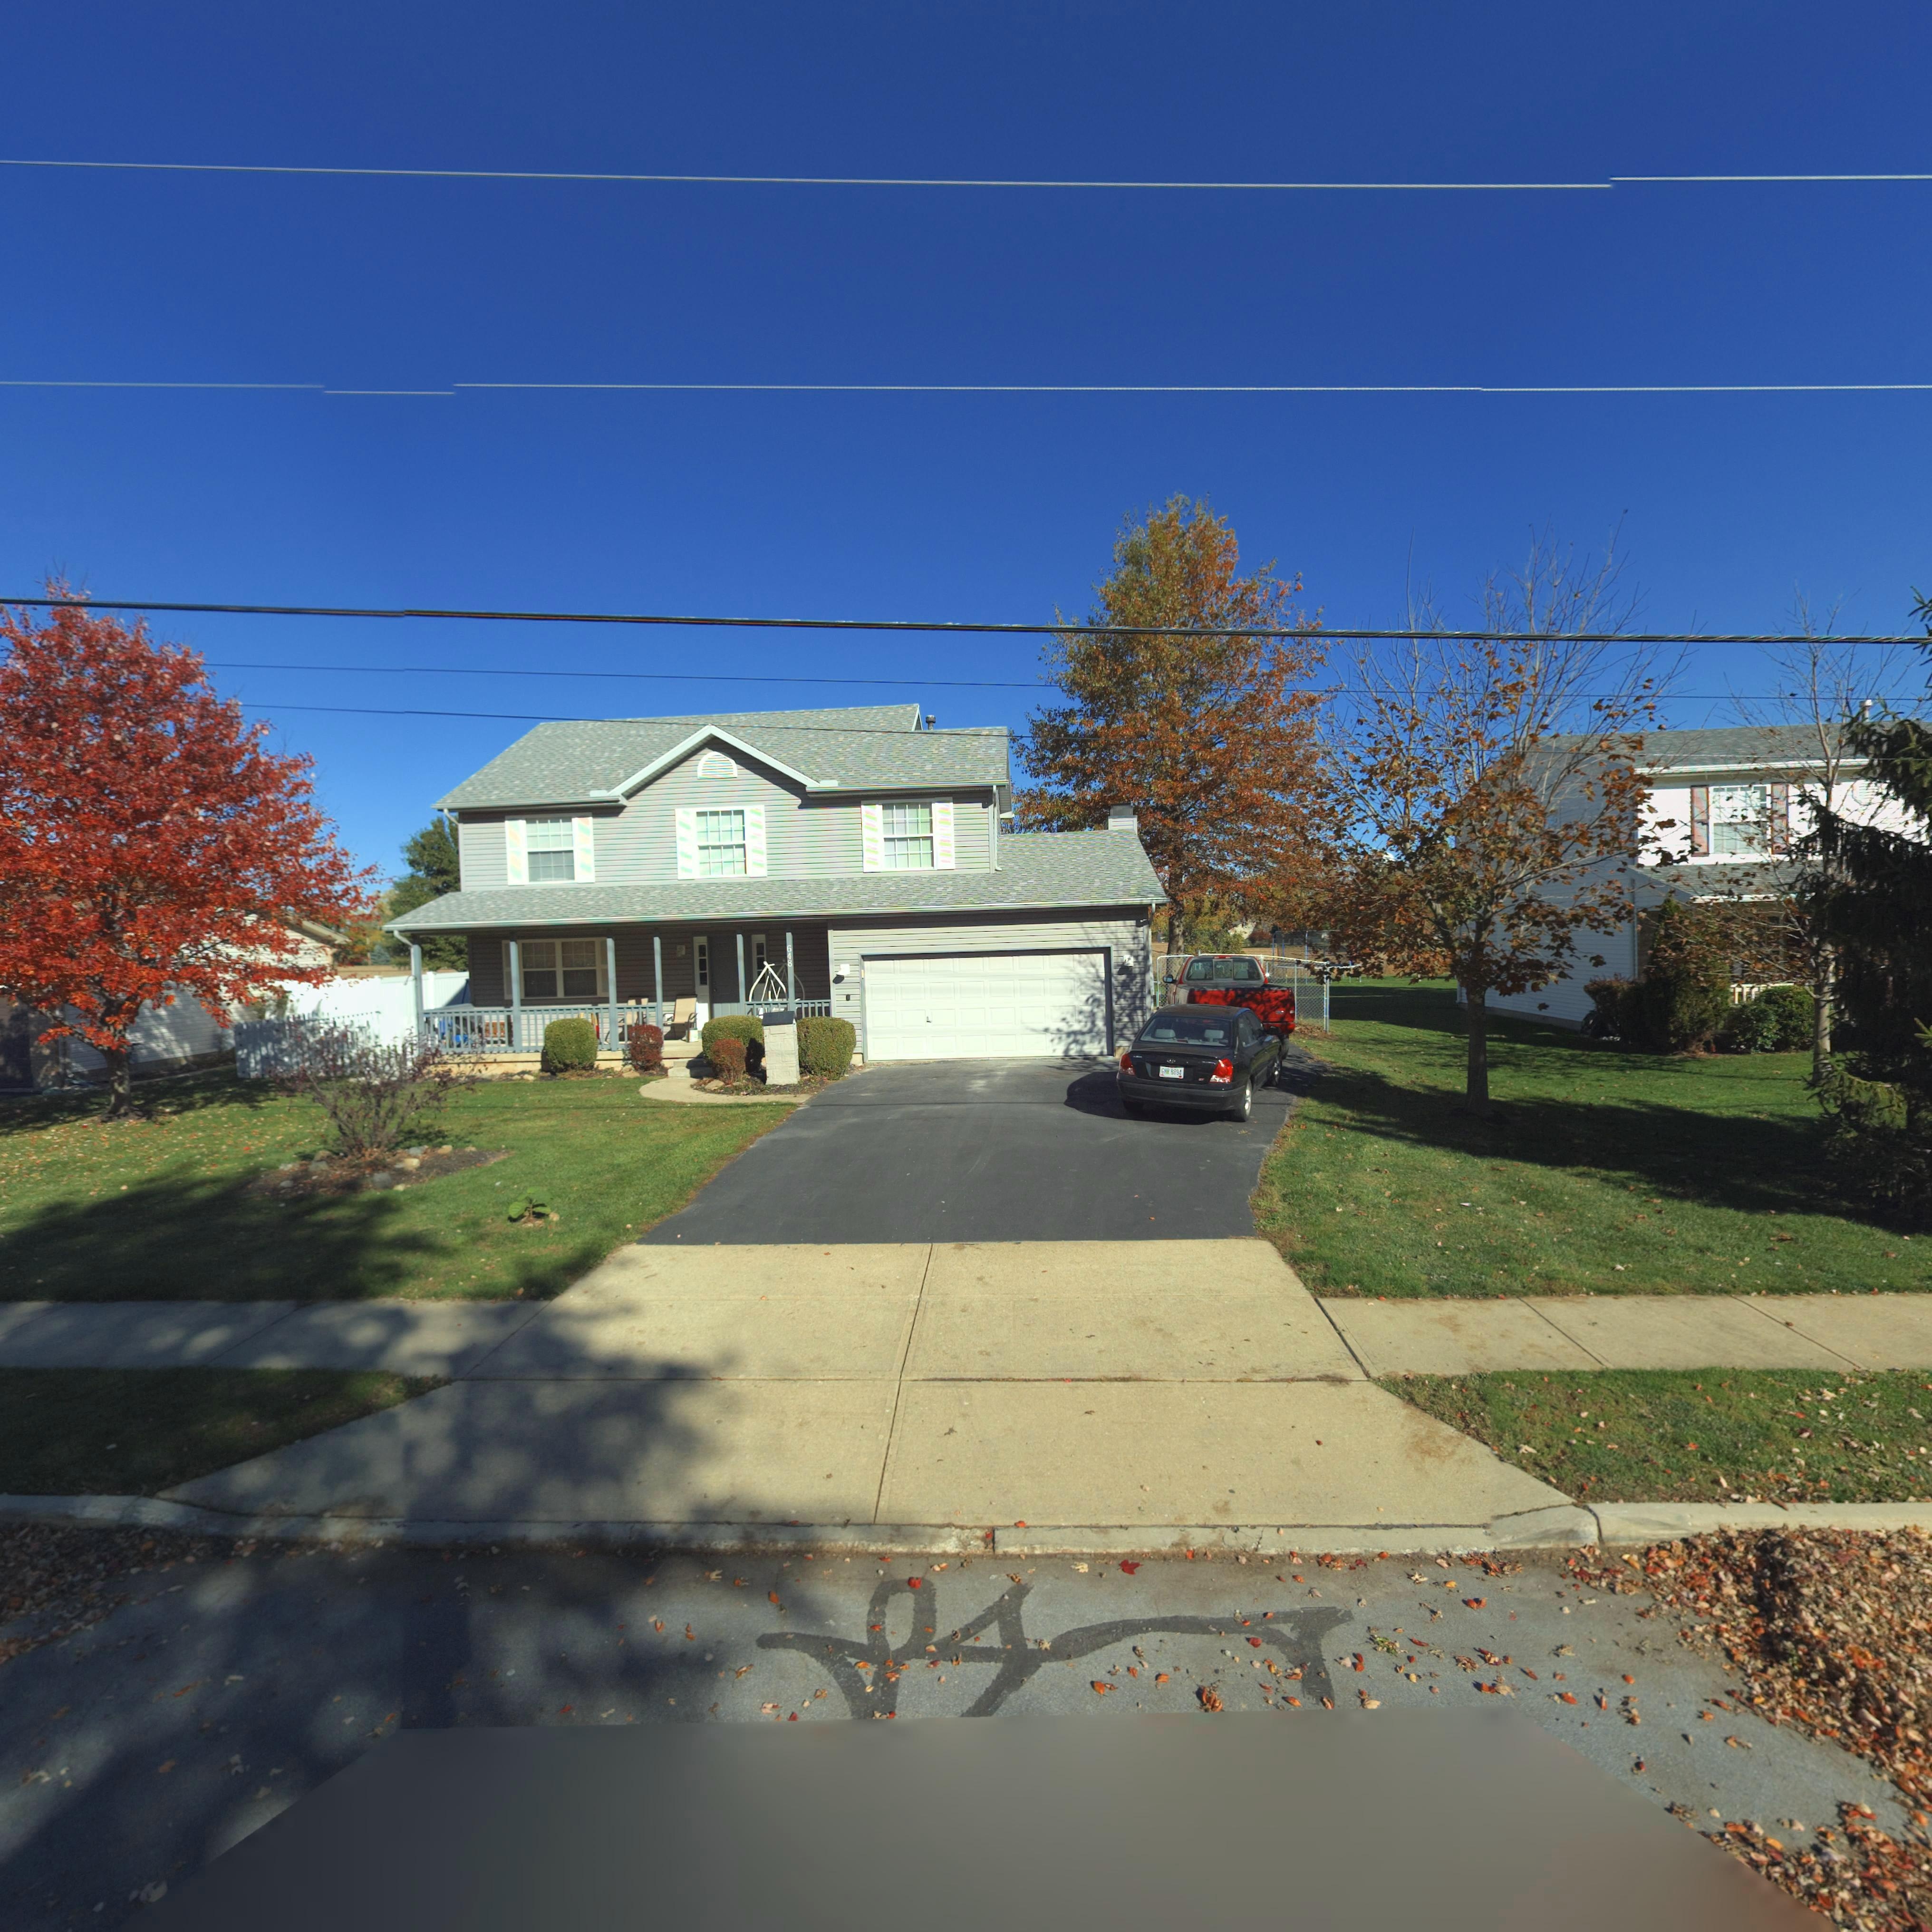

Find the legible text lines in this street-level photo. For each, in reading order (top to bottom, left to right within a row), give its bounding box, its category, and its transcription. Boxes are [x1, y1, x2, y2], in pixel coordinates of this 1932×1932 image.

[786, 945, 792, 967] StreetNumber: 648